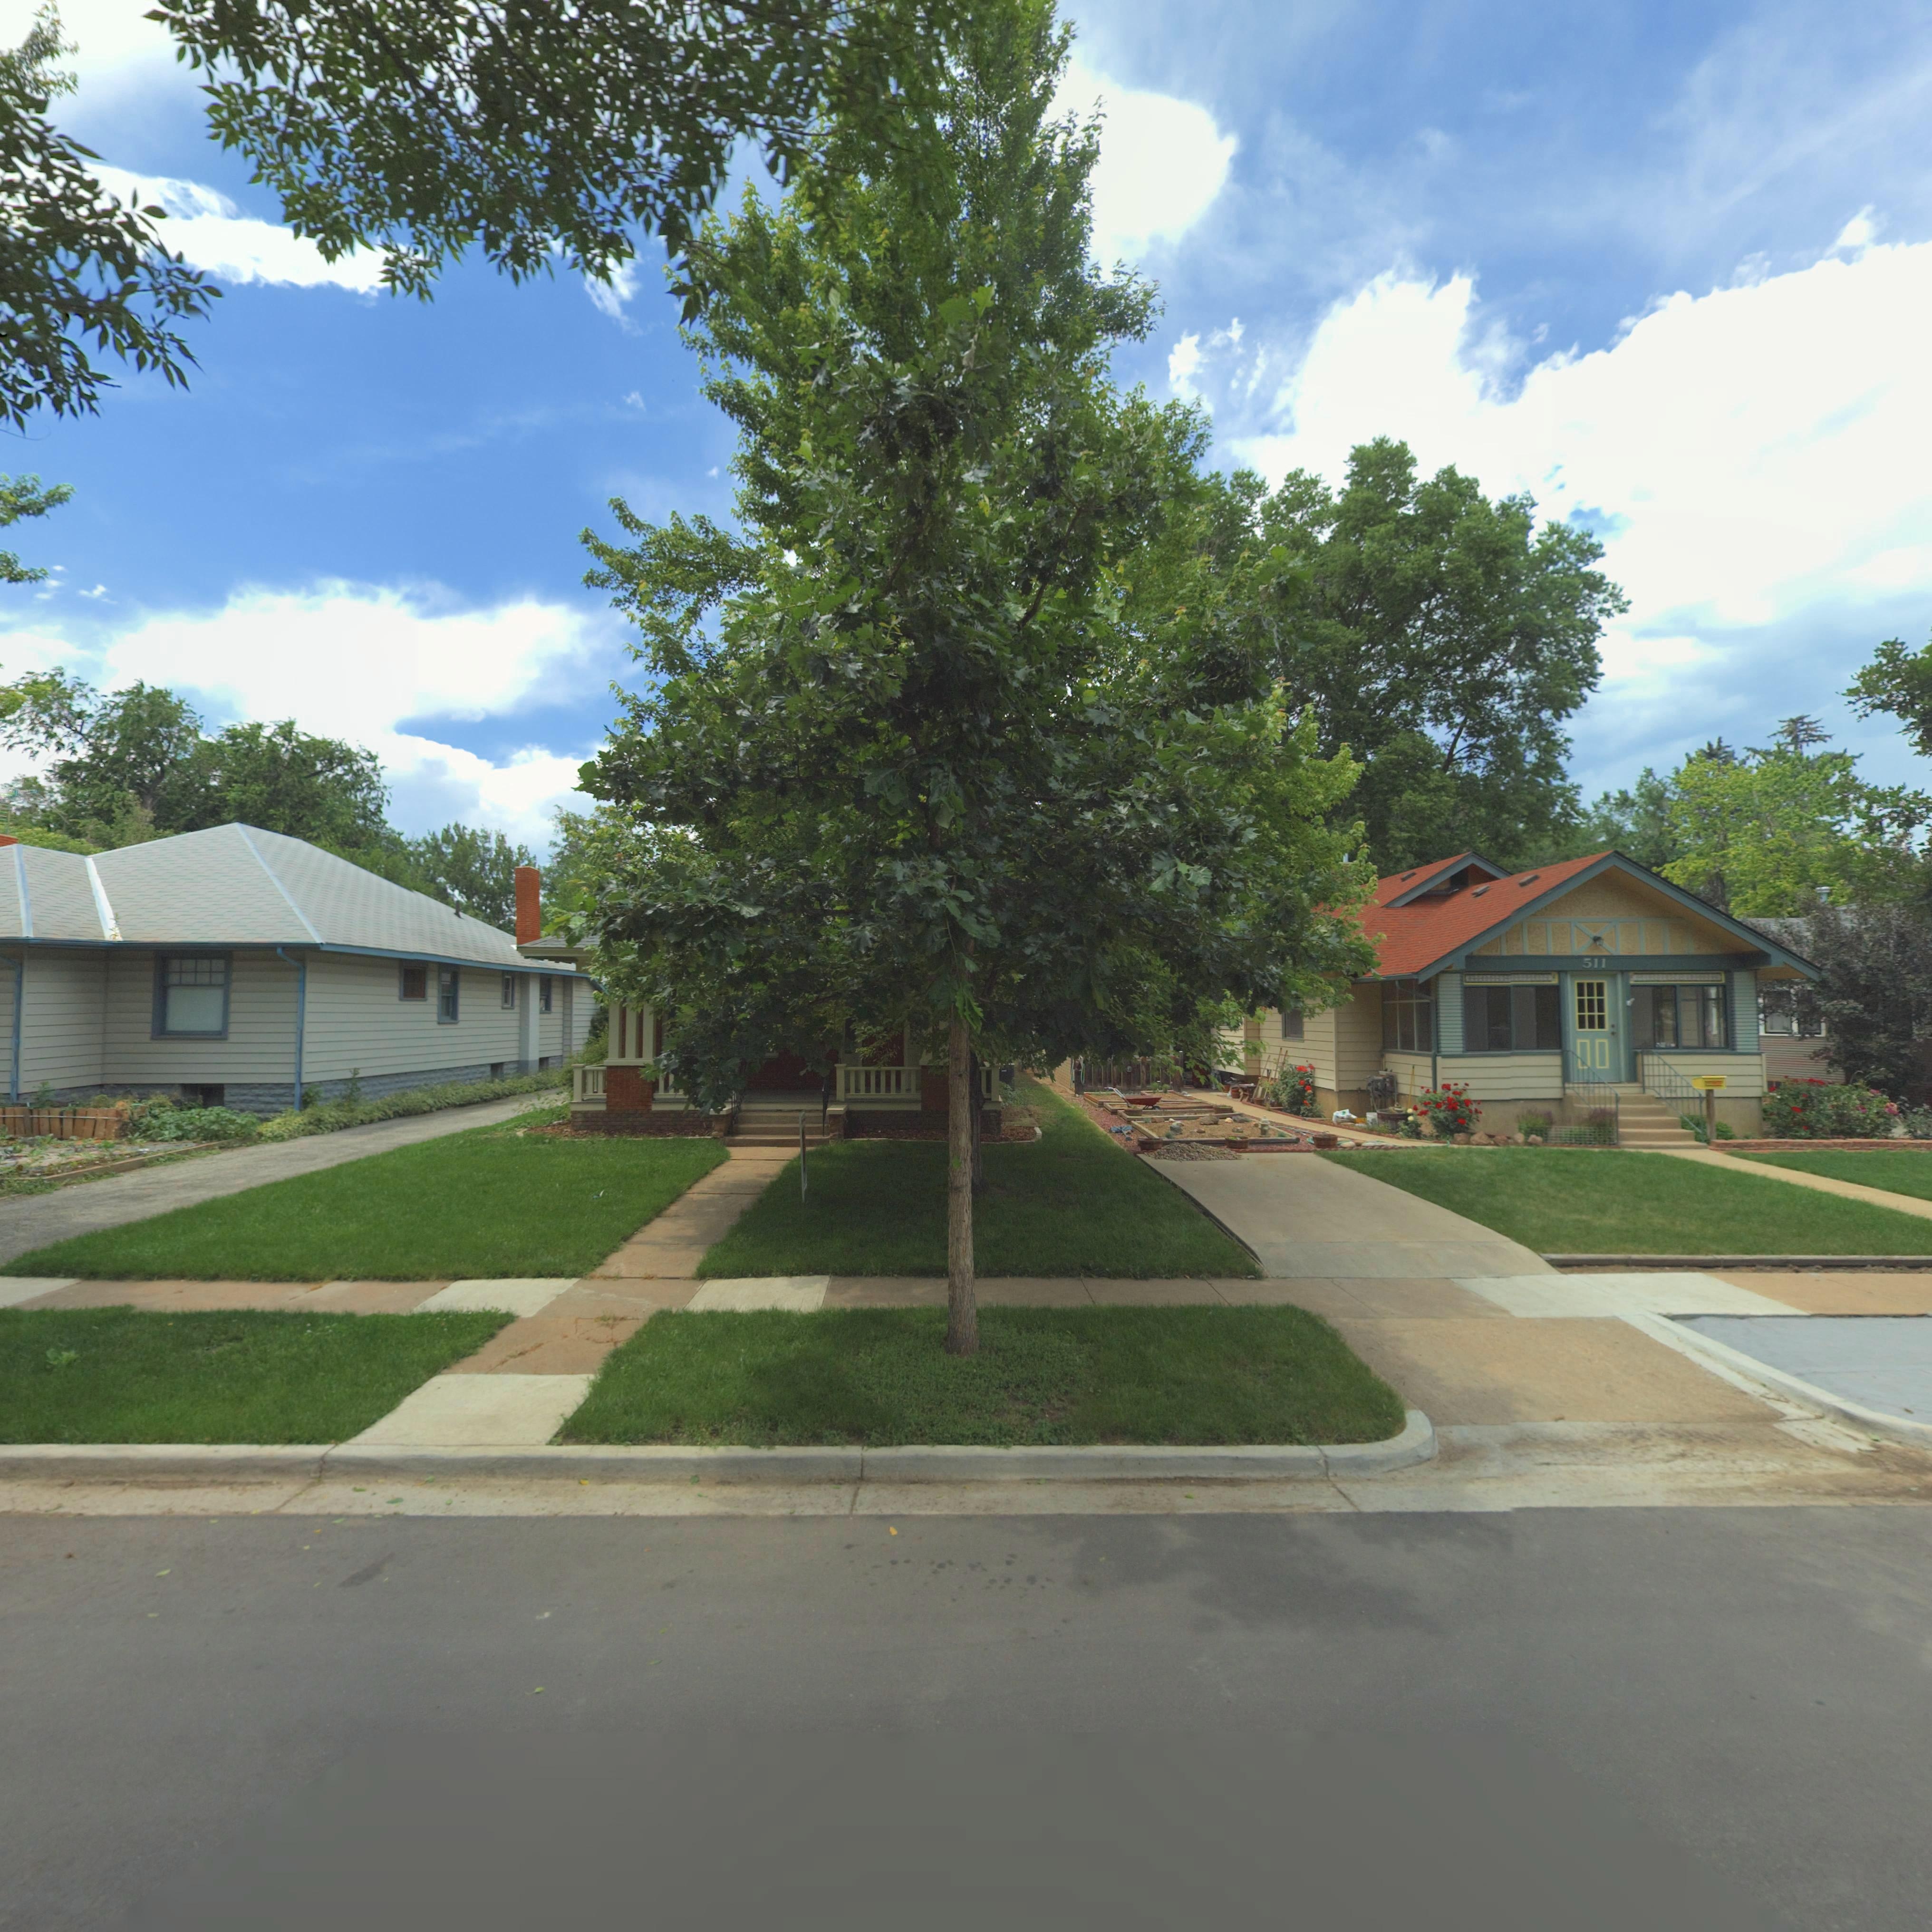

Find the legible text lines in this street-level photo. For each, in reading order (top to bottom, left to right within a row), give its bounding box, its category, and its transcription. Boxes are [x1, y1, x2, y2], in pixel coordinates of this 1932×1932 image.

[1581, 957, 1606, 969] StreetNumber: 511